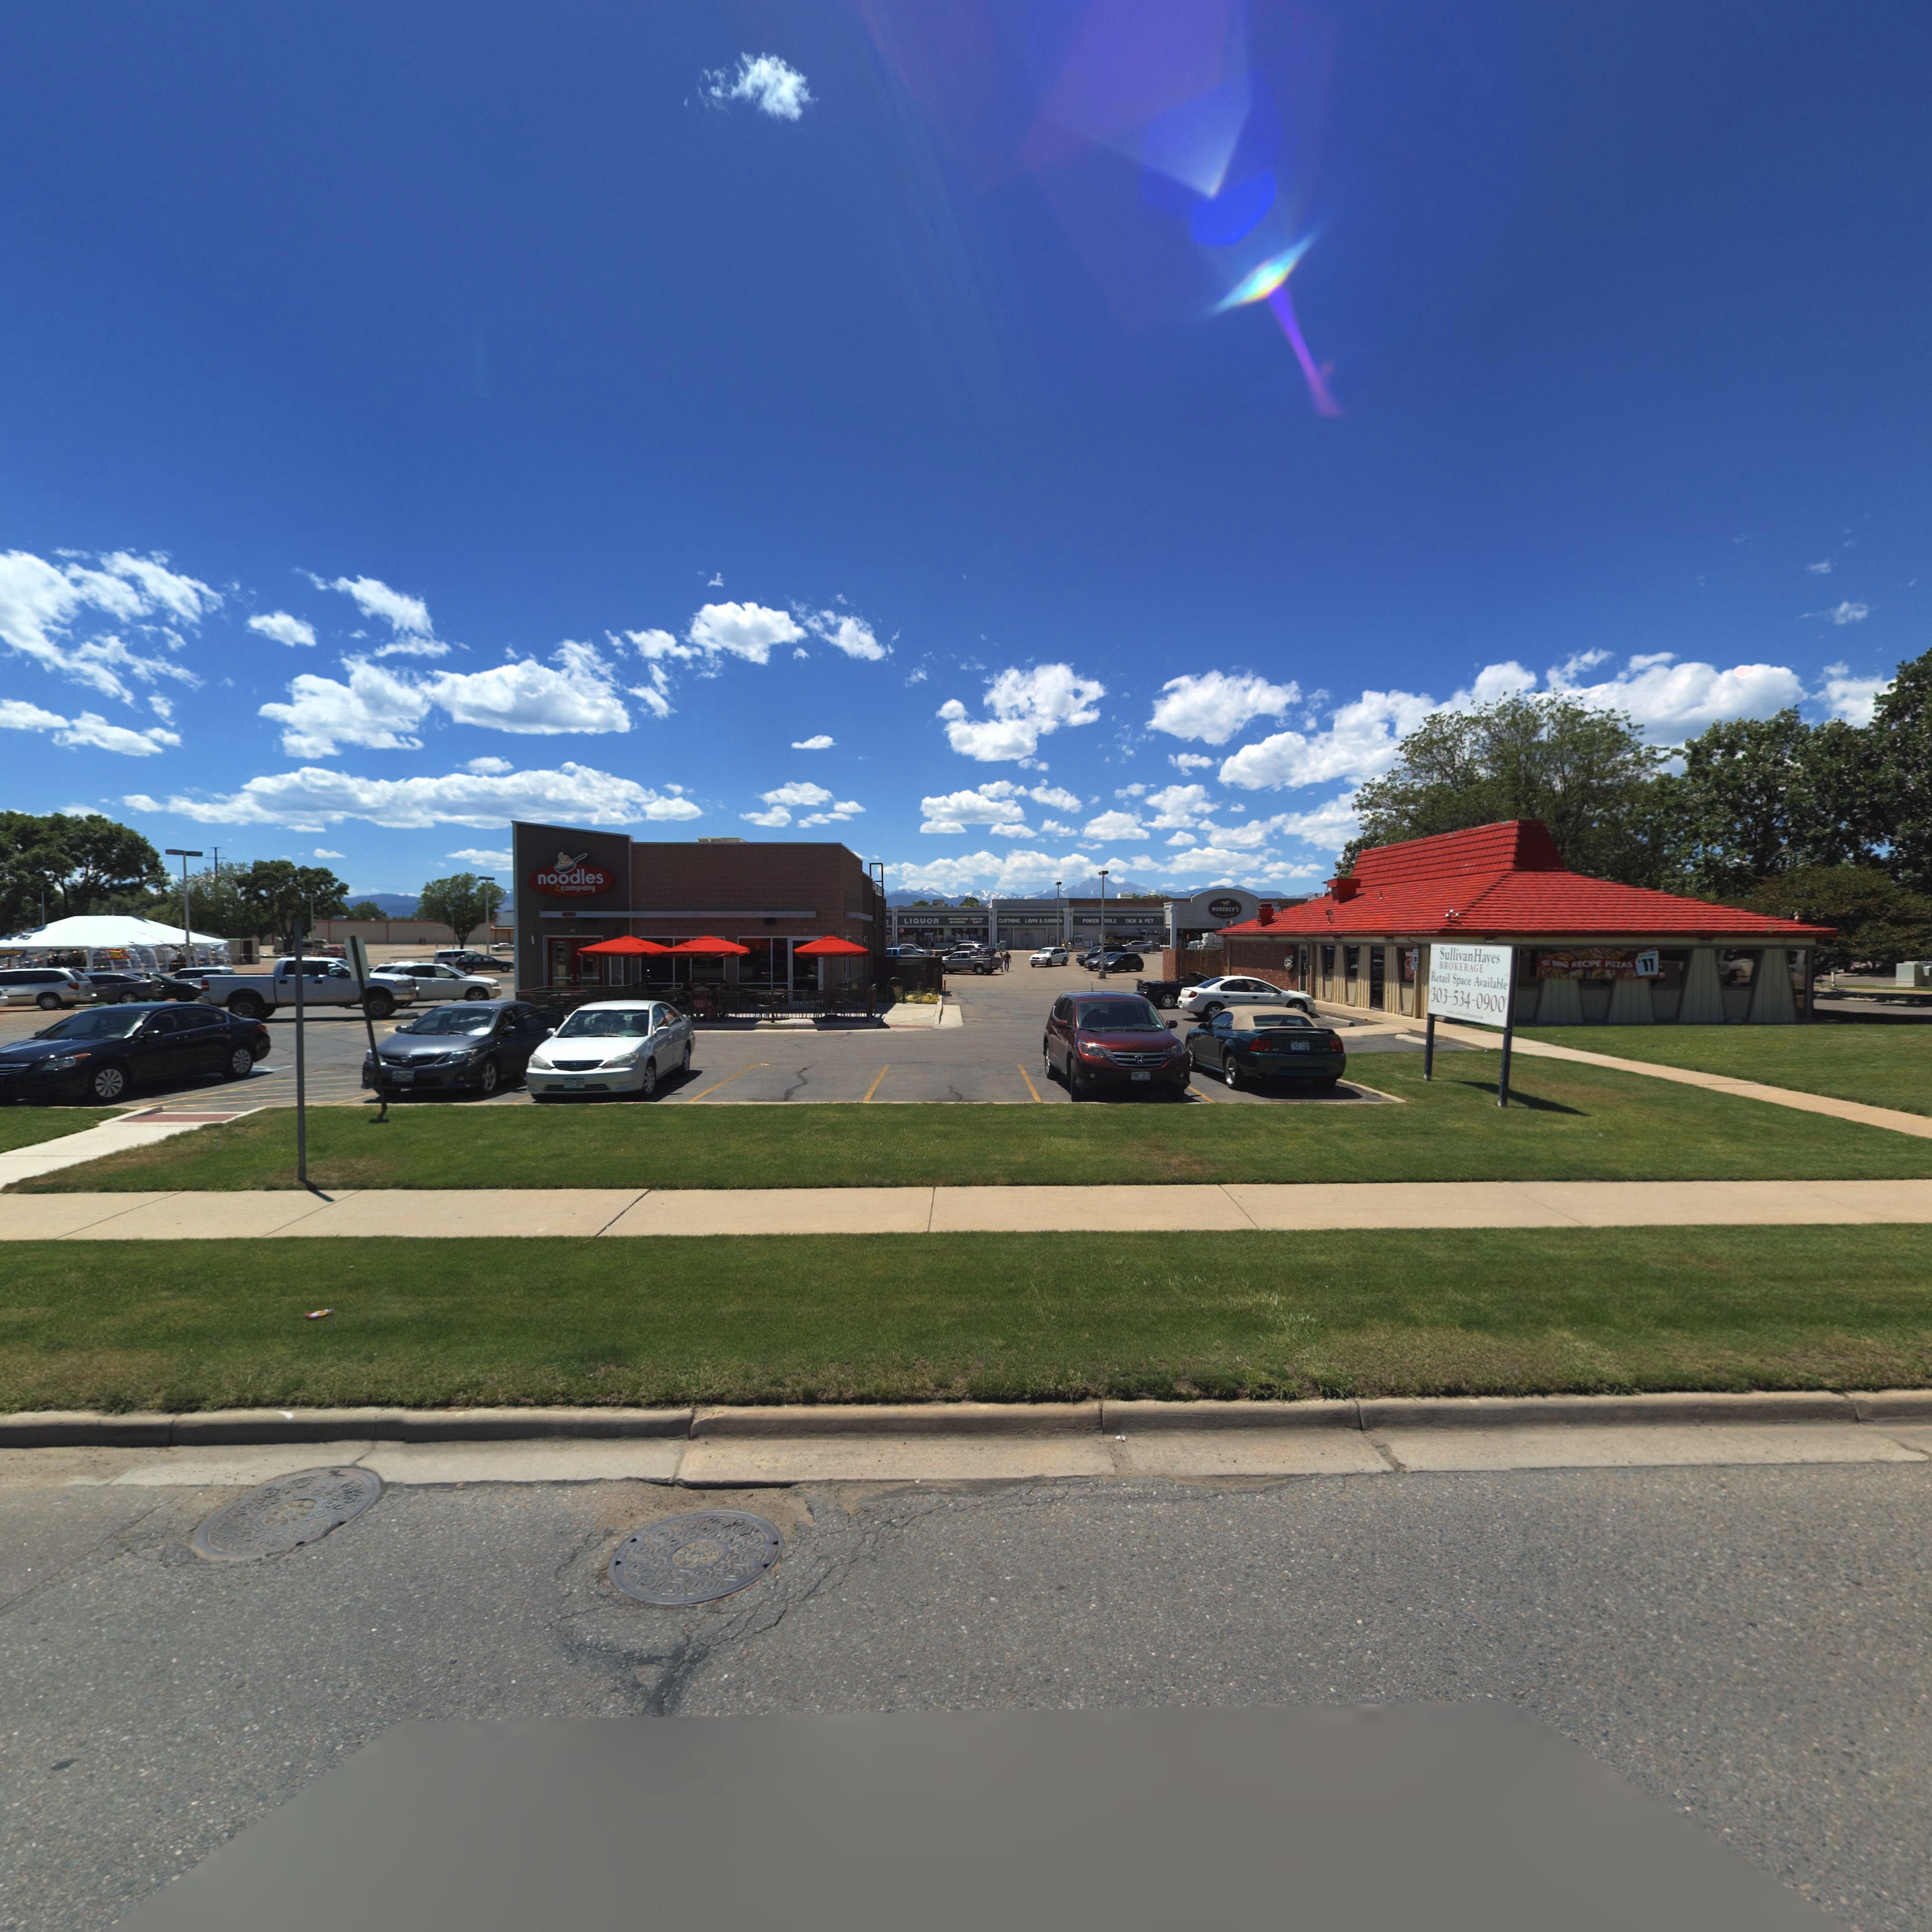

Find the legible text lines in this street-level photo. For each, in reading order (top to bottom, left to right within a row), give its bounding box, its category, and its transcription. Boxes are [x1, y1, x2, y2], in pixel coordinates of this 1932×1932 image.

[538, 868, 604, 884] BusinessName: noodles
[560, 885, 595, 892] BusinessName: company
[1212, 907, 1239, 911] BusinessName: MURDOCH*S